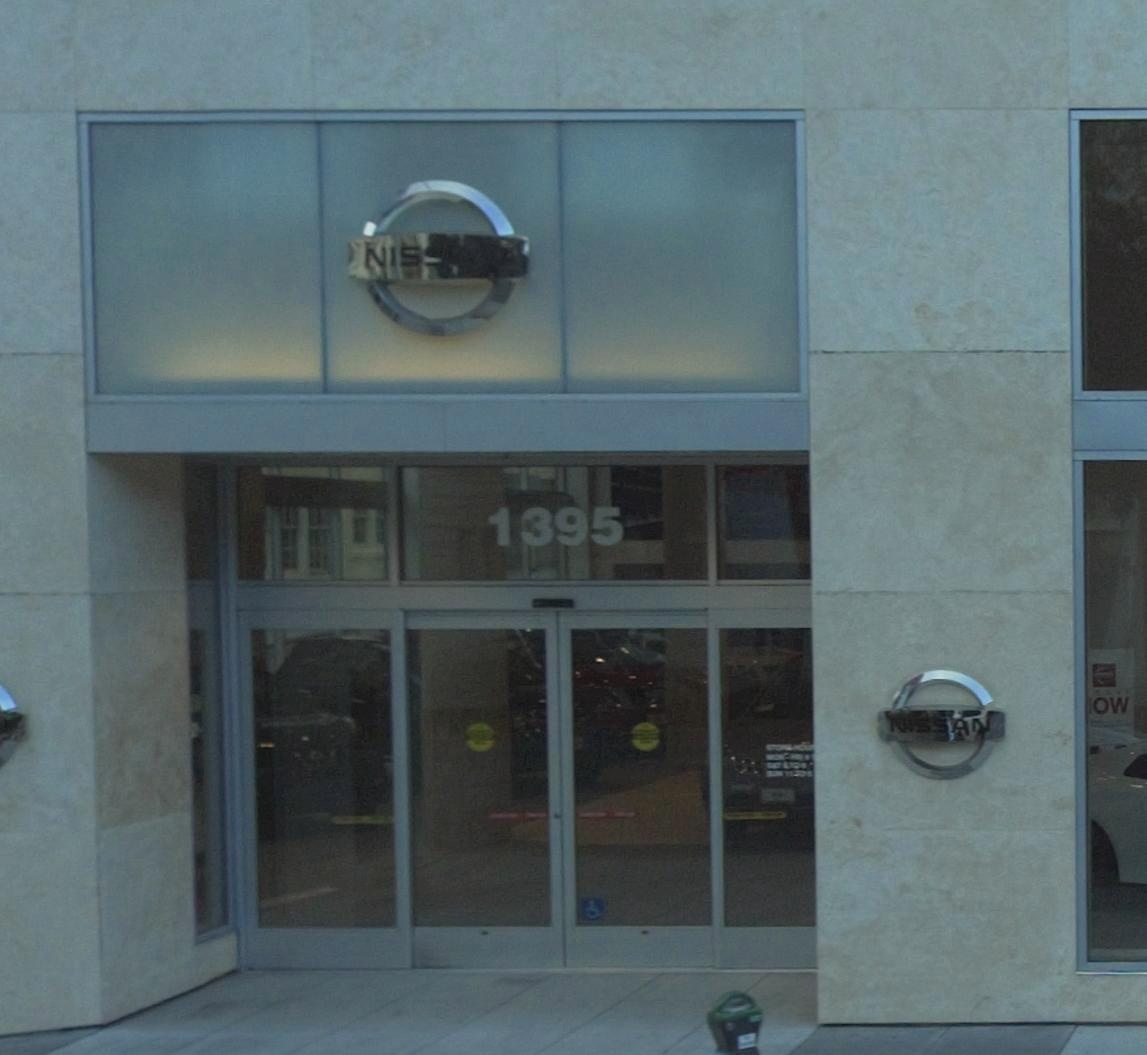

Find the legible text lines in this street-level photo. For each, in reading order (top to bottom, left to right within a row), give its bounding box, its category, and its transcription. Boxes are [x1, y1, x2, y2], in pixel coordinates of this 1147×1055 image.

[362, 243, 424, 270] BusinessName: NIS
[483, 502, 628, 552] StreetNumber: 1395
[1090, 694, 1131, 717] None: OW
[886, 714, 993, 737] BusinessName: NISSAN